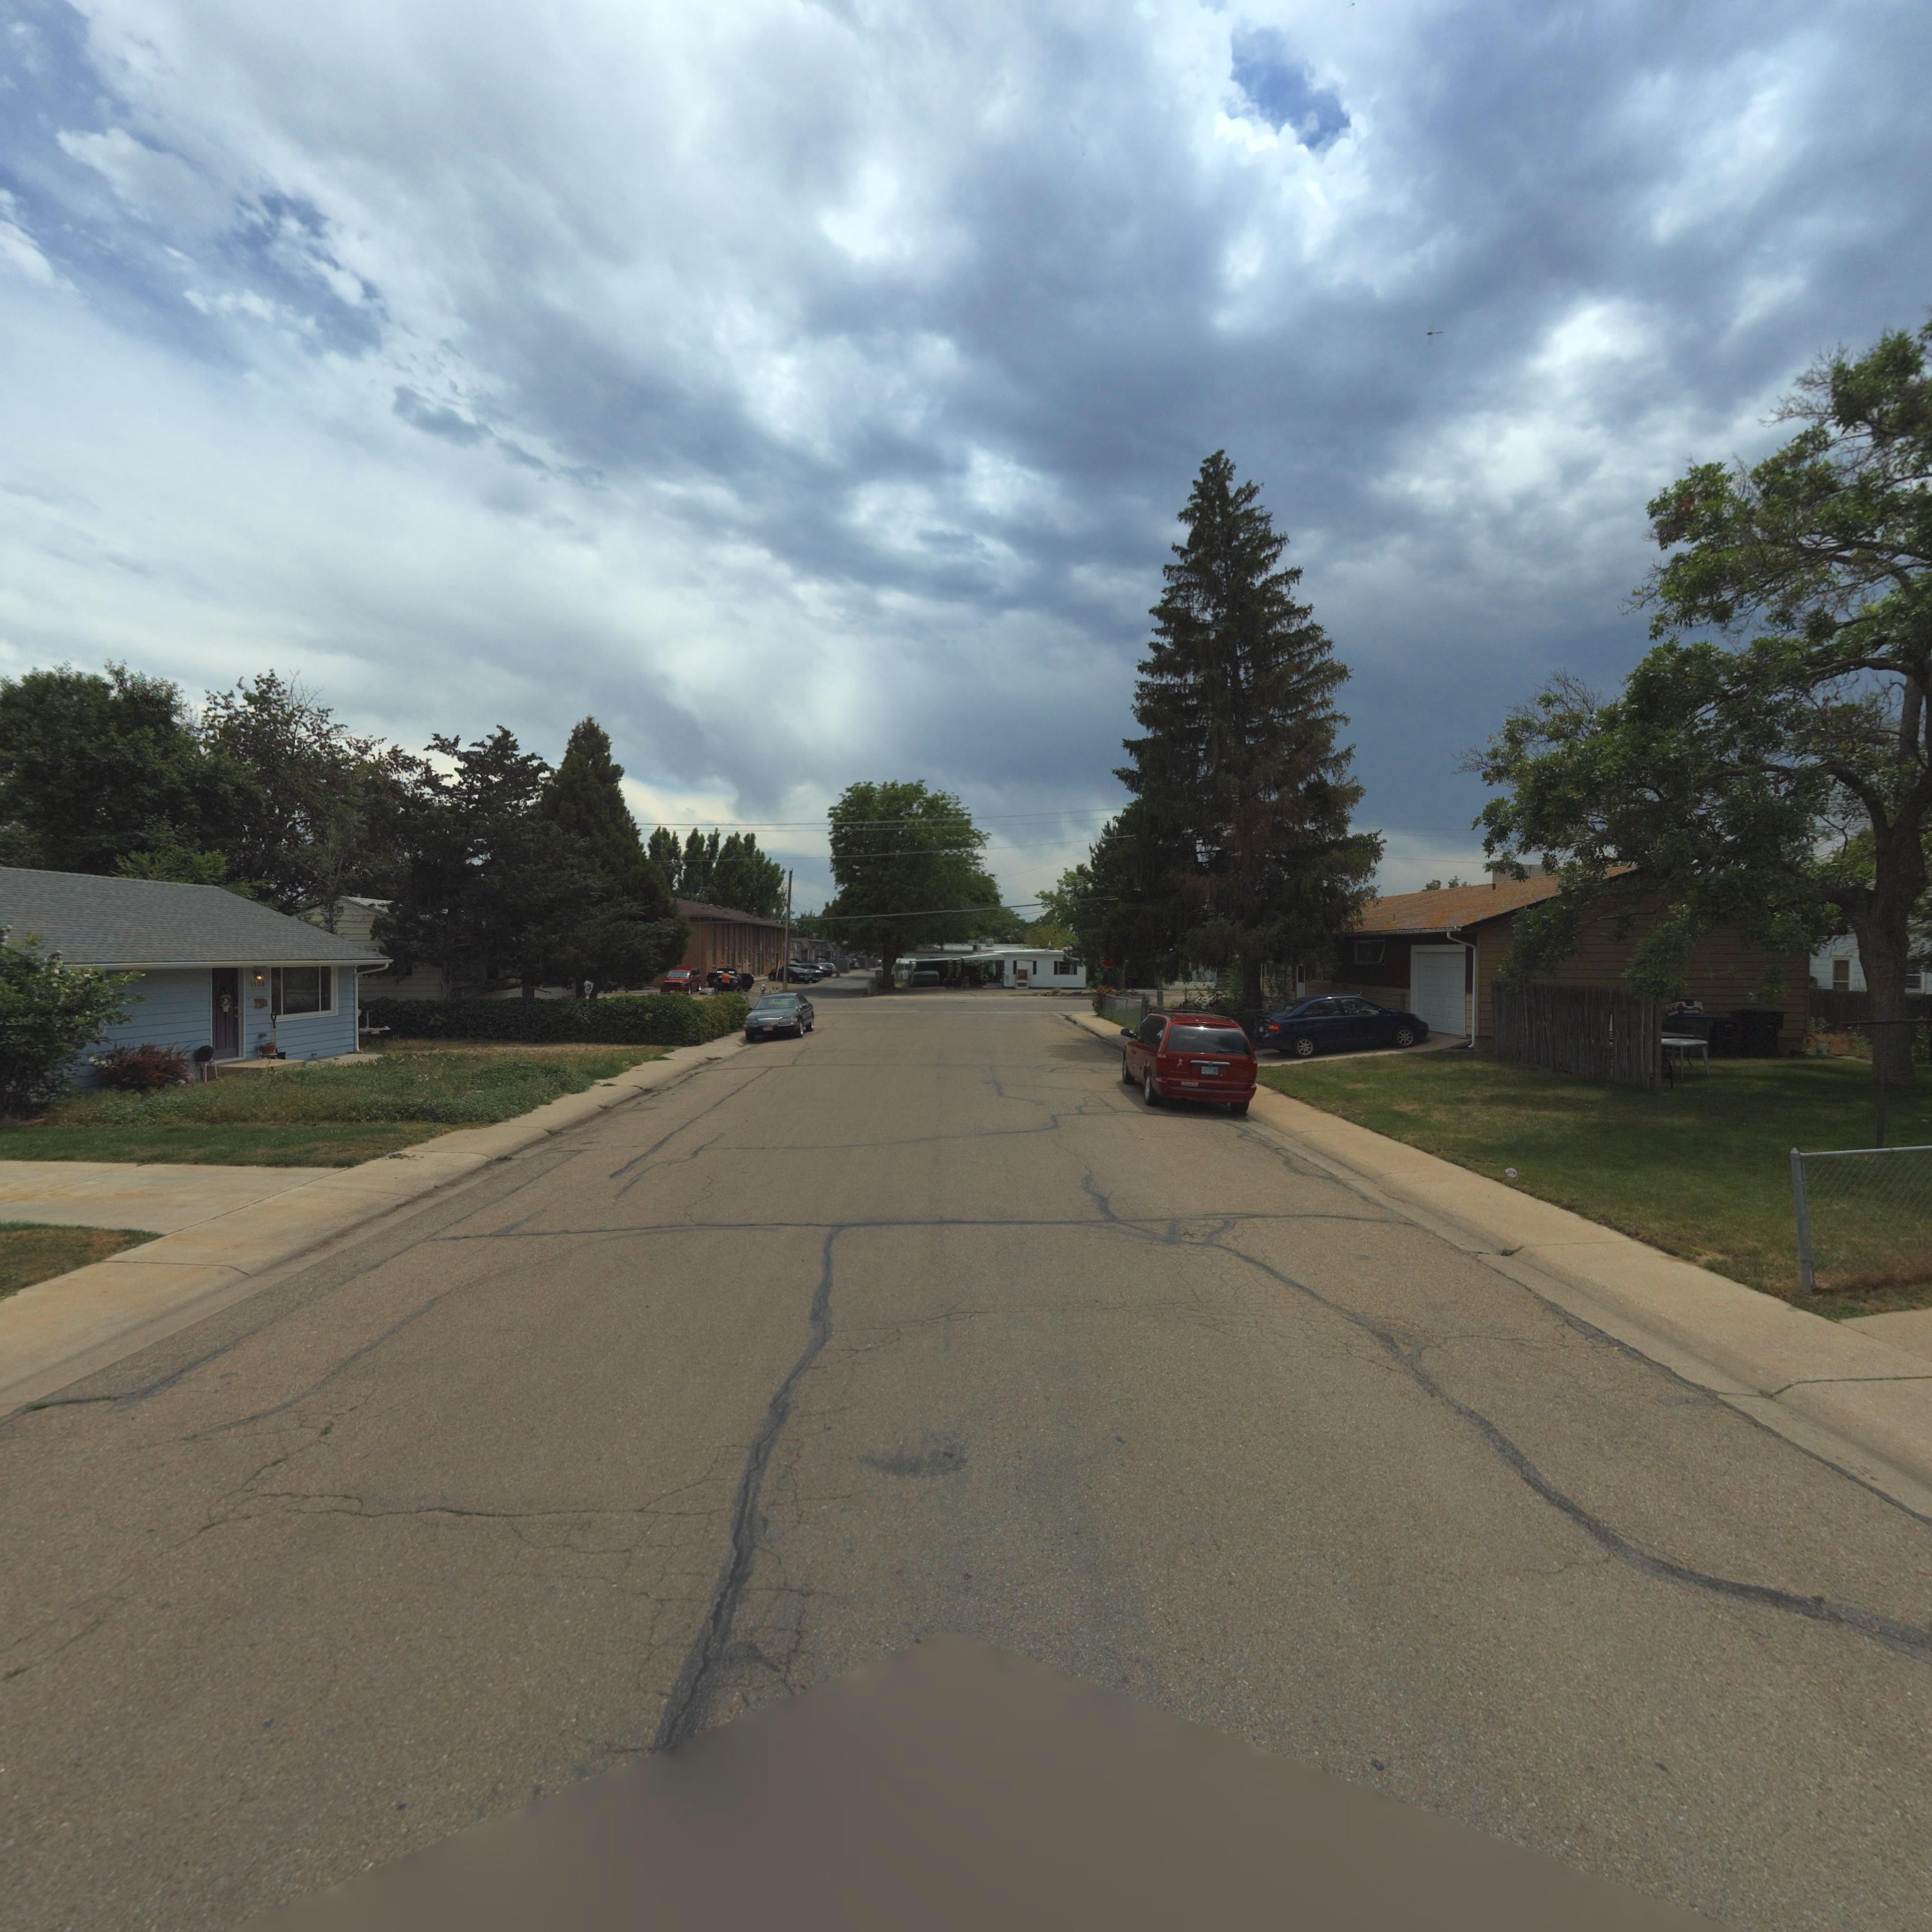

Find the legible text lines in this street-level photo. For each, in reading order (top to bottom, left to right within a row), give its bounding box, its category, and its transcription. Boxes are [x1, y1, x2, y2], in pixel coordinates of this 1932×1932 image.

[250, 980, 265, 988] StreetNumber: 150*